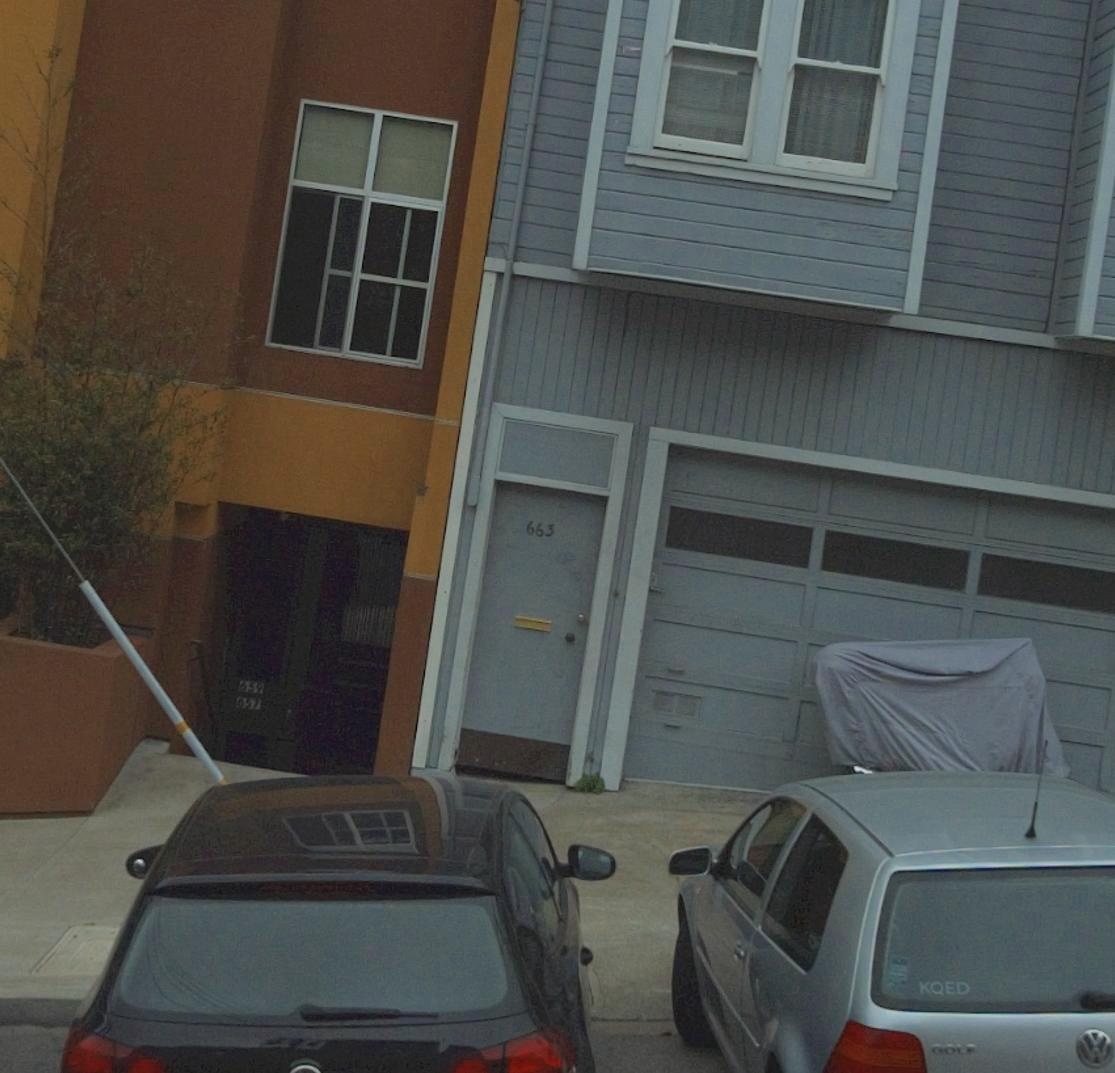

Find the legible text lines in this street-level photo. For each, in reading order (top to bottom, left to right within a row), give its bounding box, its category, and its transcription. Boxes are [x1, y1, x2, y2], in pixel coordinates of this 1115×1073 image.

[525, 519, 556, 538] StreetNumber: 663
[237, 678, 266, 695] StreetNumber: 659
[235, 695, 263, 710] StreetNumber: 657
[917, 978, 972, 997] None: KQED
[930, 1043, 978, 1056] None: GOLF